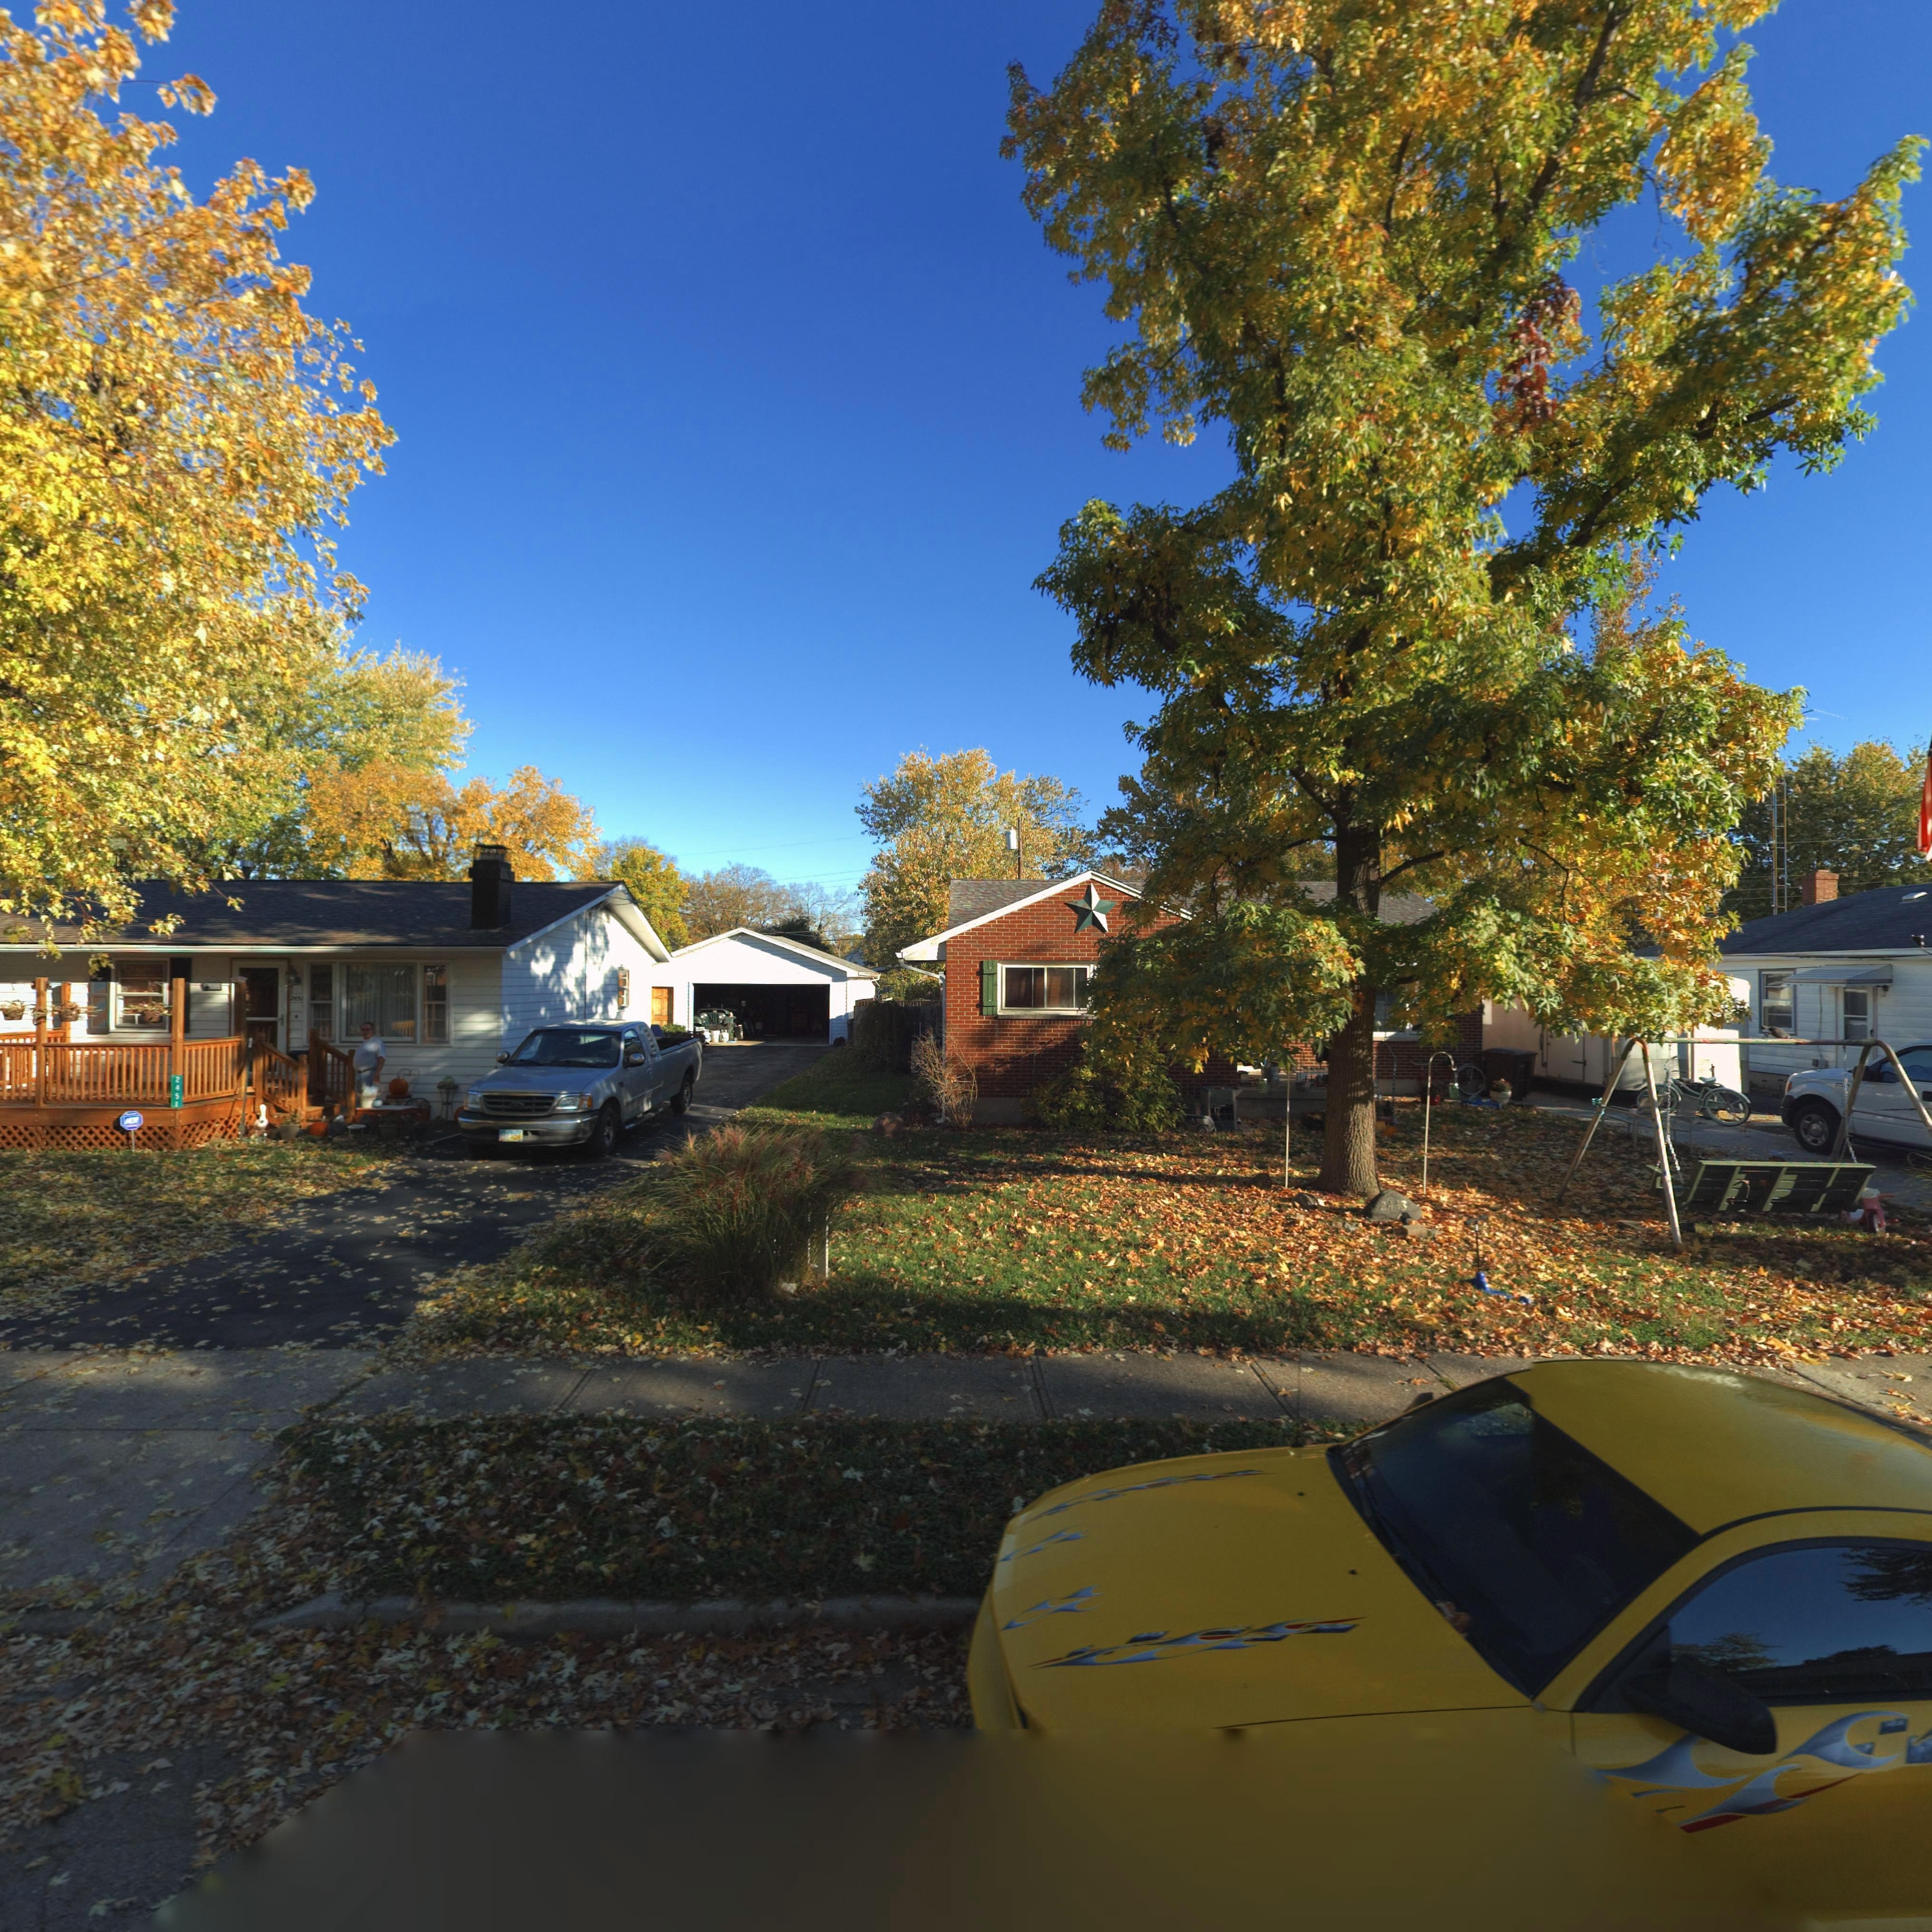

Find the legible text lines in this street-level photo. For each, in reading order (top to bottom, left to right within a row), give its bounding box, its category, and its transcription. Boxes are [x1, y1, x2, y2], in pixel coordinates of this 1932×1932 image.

[289, 995, 302, 1002] StreetNumber: 2451
[173, 1076, 181, 1109] StreetNumber: 2451